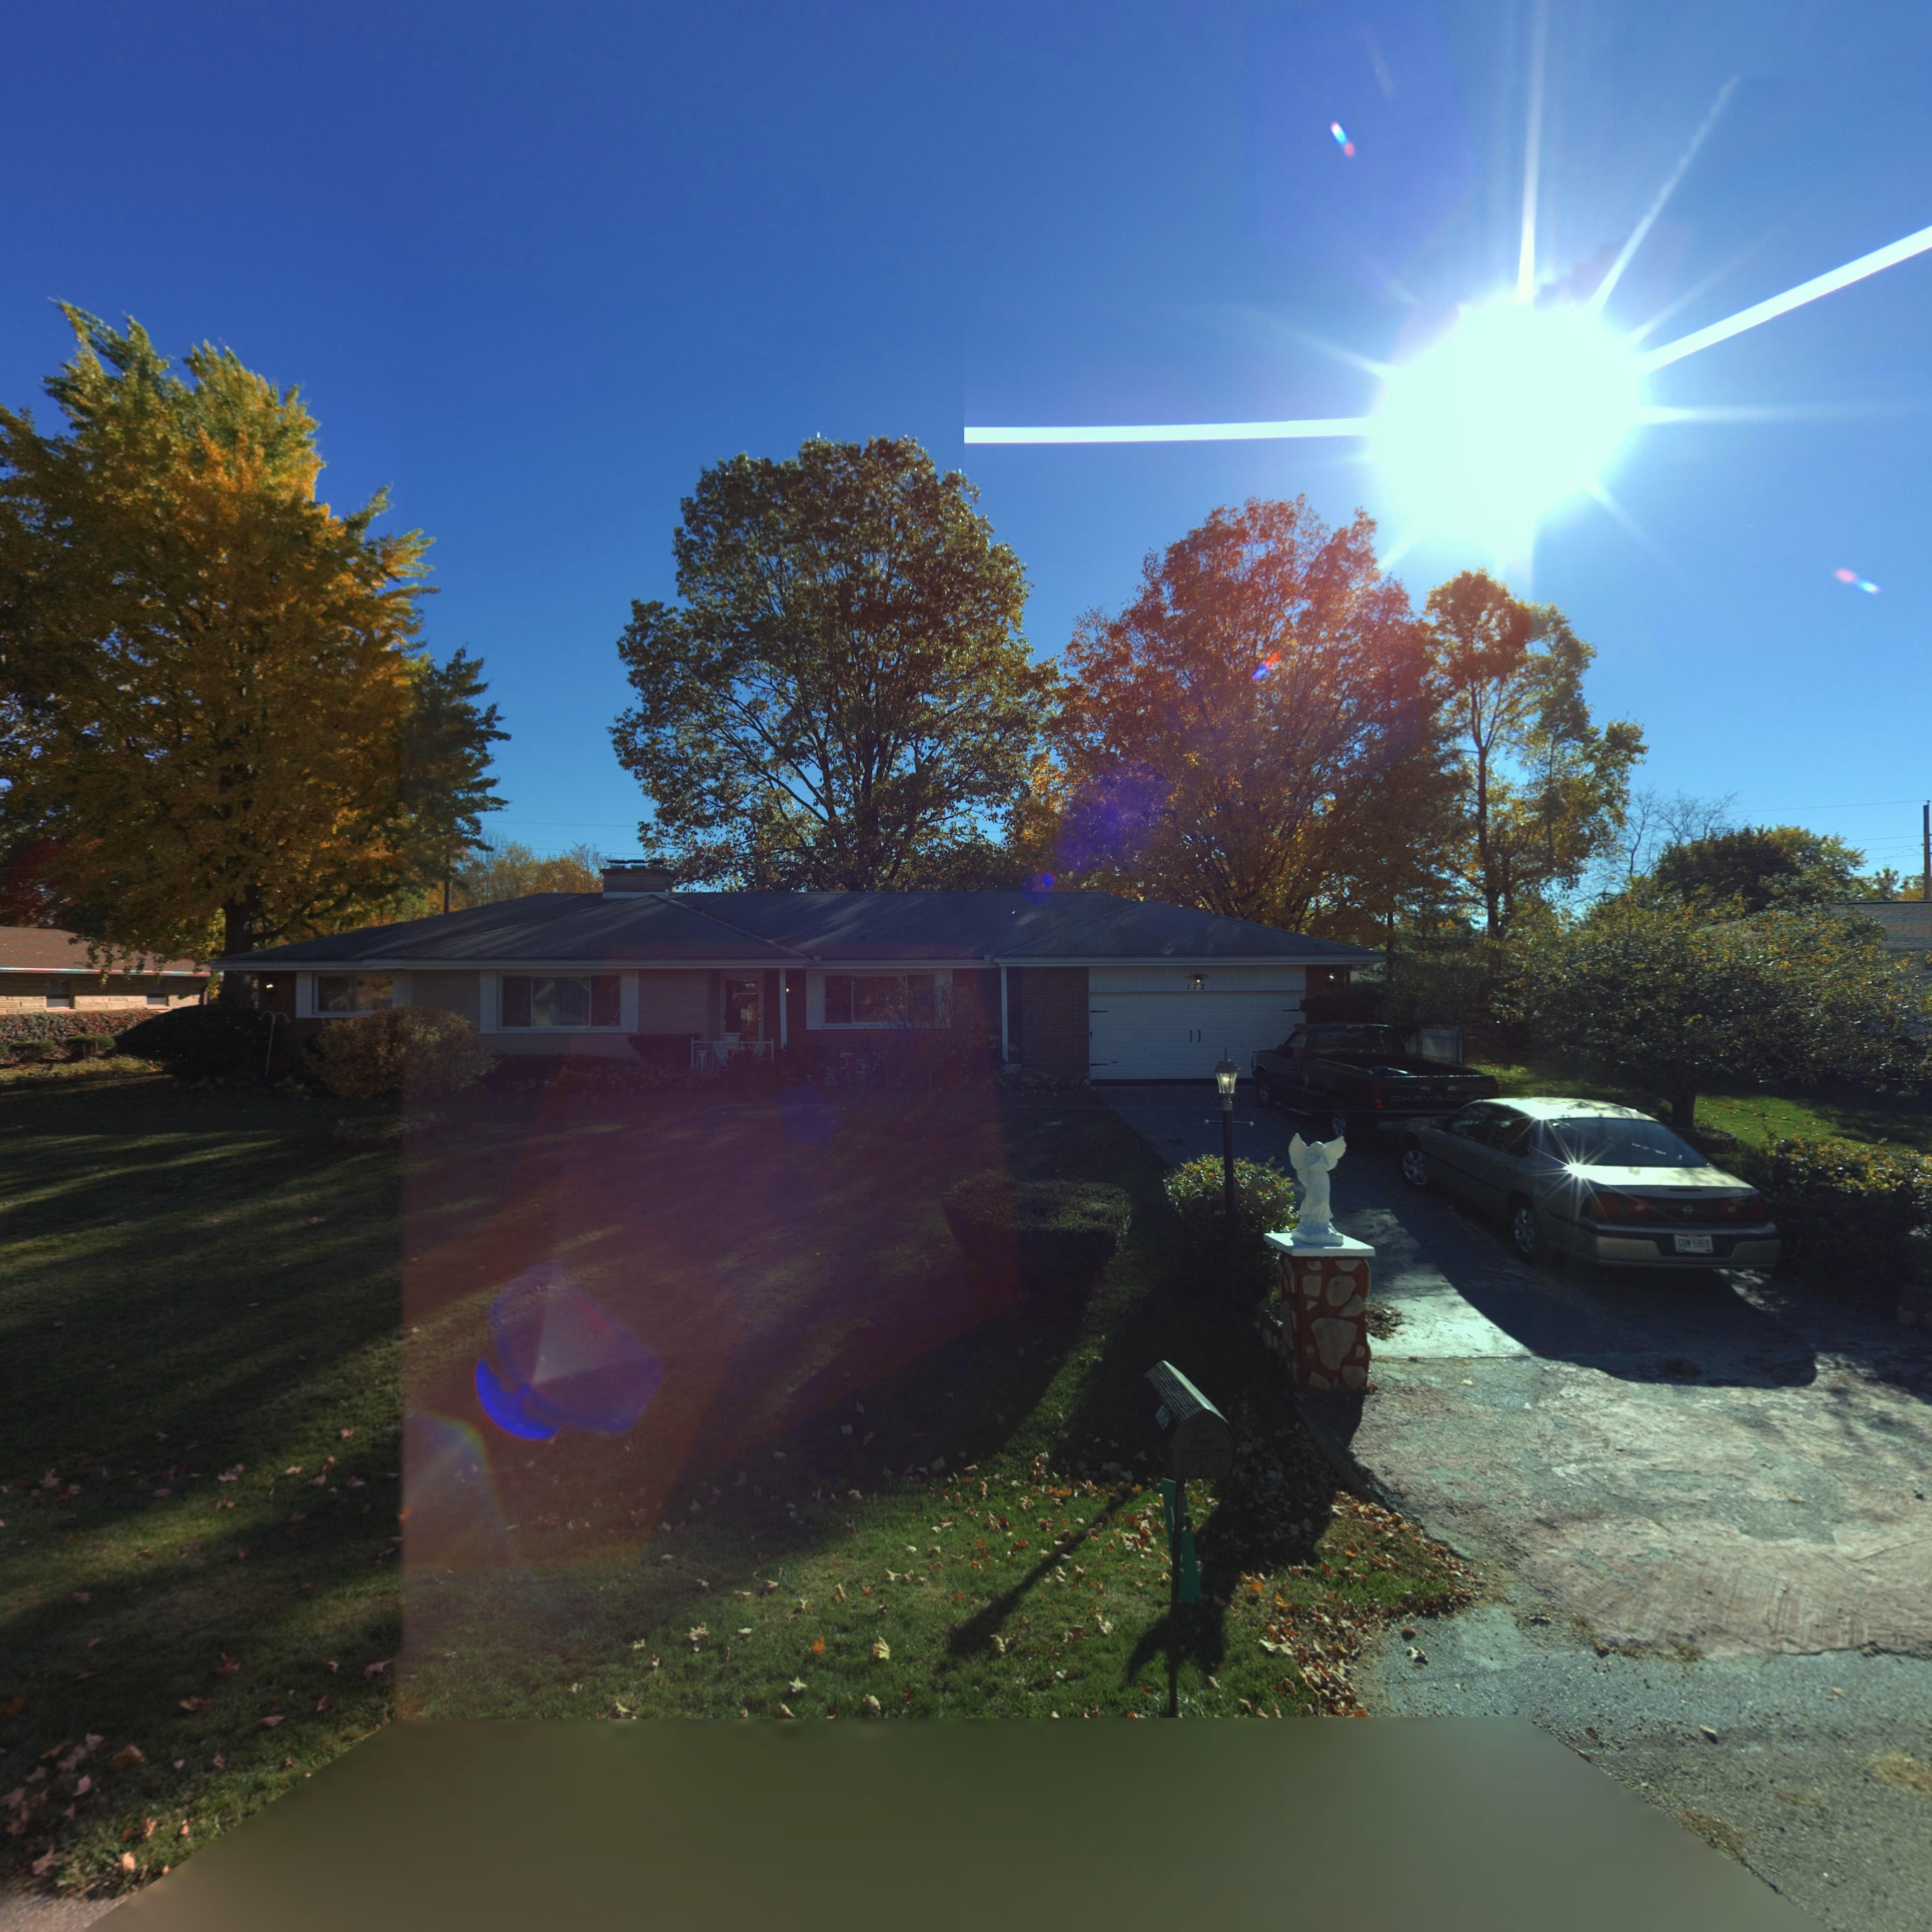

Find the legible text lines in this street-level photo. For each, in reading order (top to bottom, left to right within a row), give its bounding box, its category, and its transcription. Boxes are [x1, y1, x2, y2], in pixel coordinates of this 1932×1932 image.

[1186, 983, 1205, 991] StreetNumber: 172
[1156, 1404, 1173, 1430] StreetNumber: 172